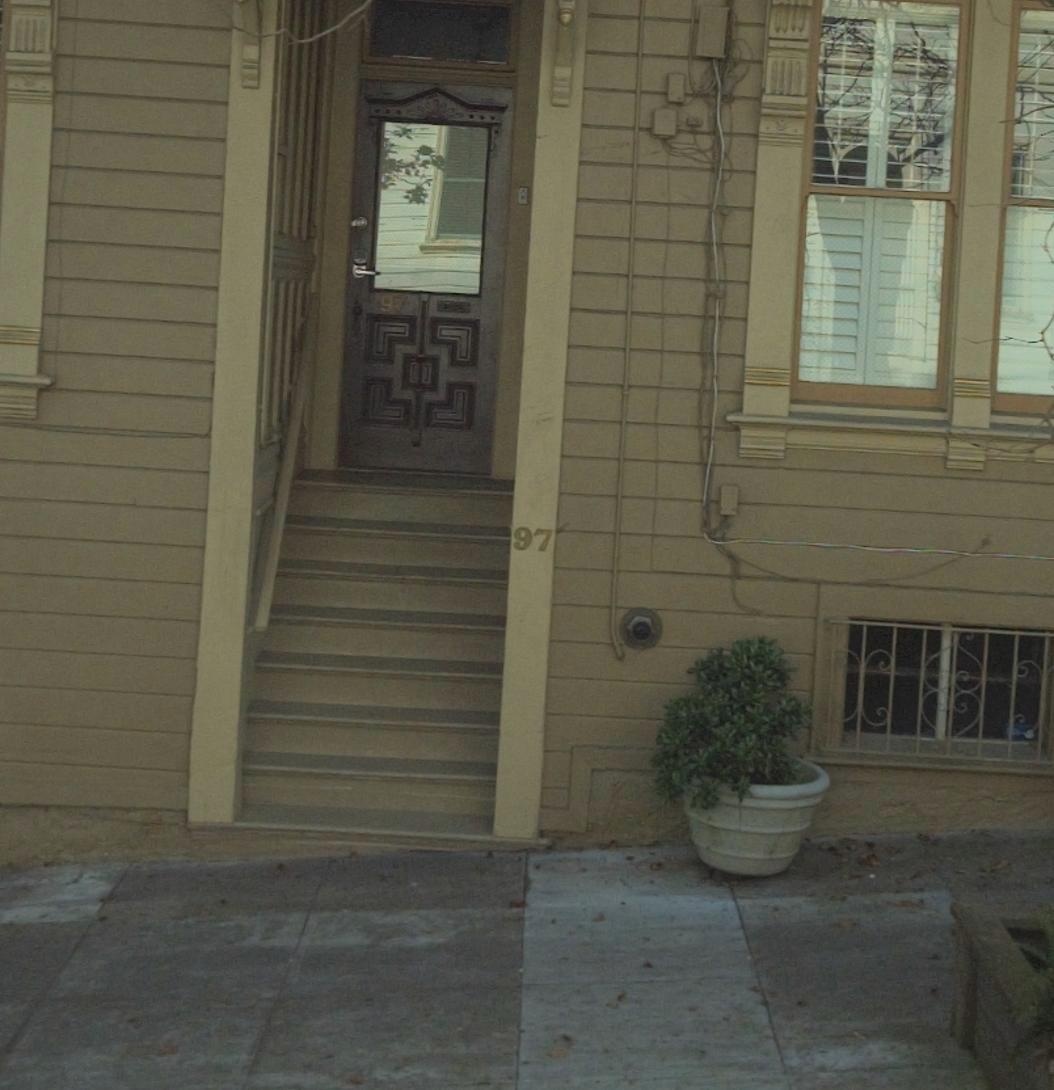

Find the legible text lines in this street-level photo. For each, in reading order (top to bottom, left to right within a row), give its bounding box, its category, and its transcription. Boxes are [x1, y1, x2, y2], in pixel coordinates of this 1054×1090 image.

[512, 524, 554, 552] StreetNumber: 97